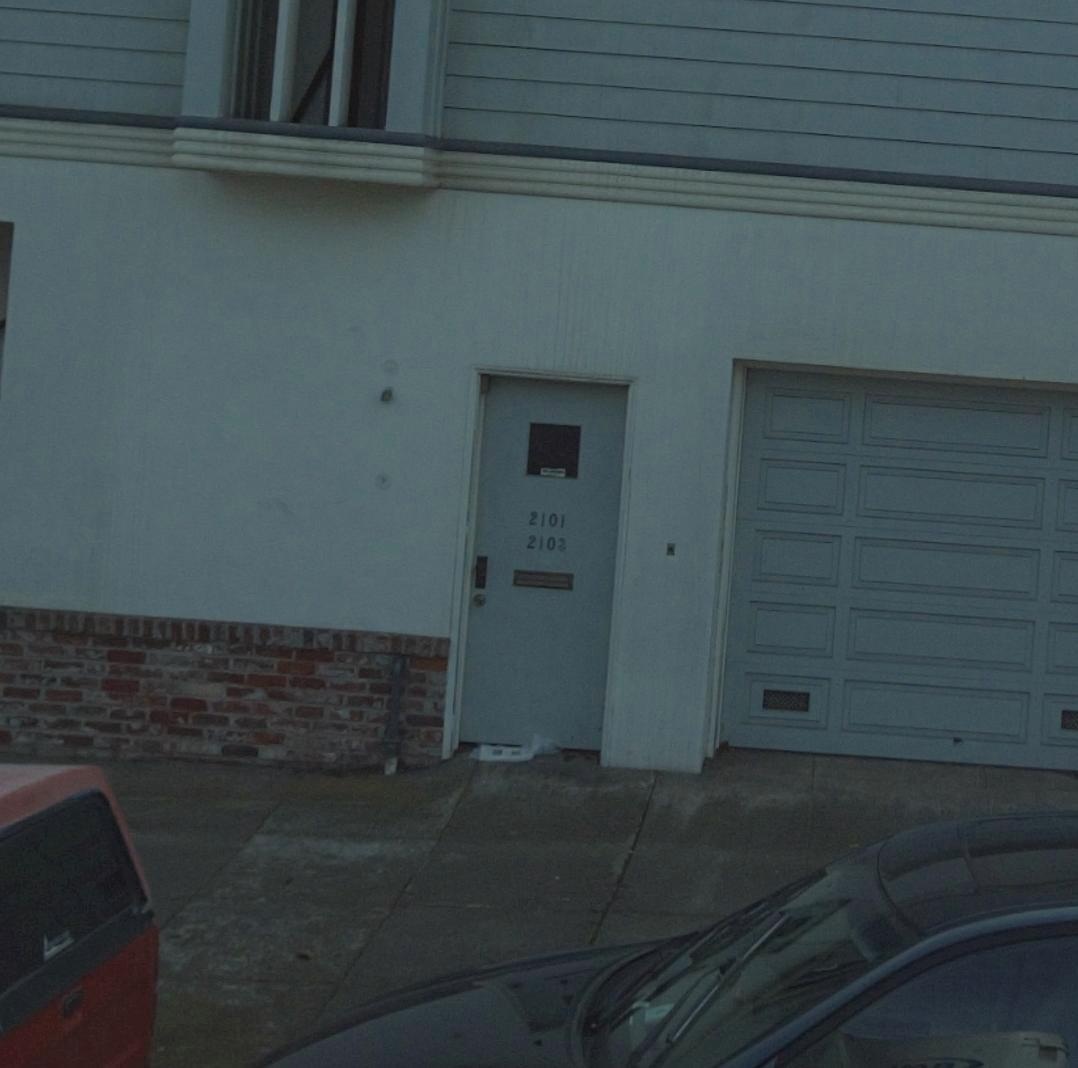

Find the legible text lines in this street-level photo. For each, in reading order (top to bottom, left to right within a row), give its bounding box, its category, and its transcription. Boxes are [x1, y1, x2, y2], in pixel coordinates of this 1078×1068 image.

[524, 508, 569, 532] StreetNumber: 2101
[523, 532, 570, 555] StreetNumber: 210*